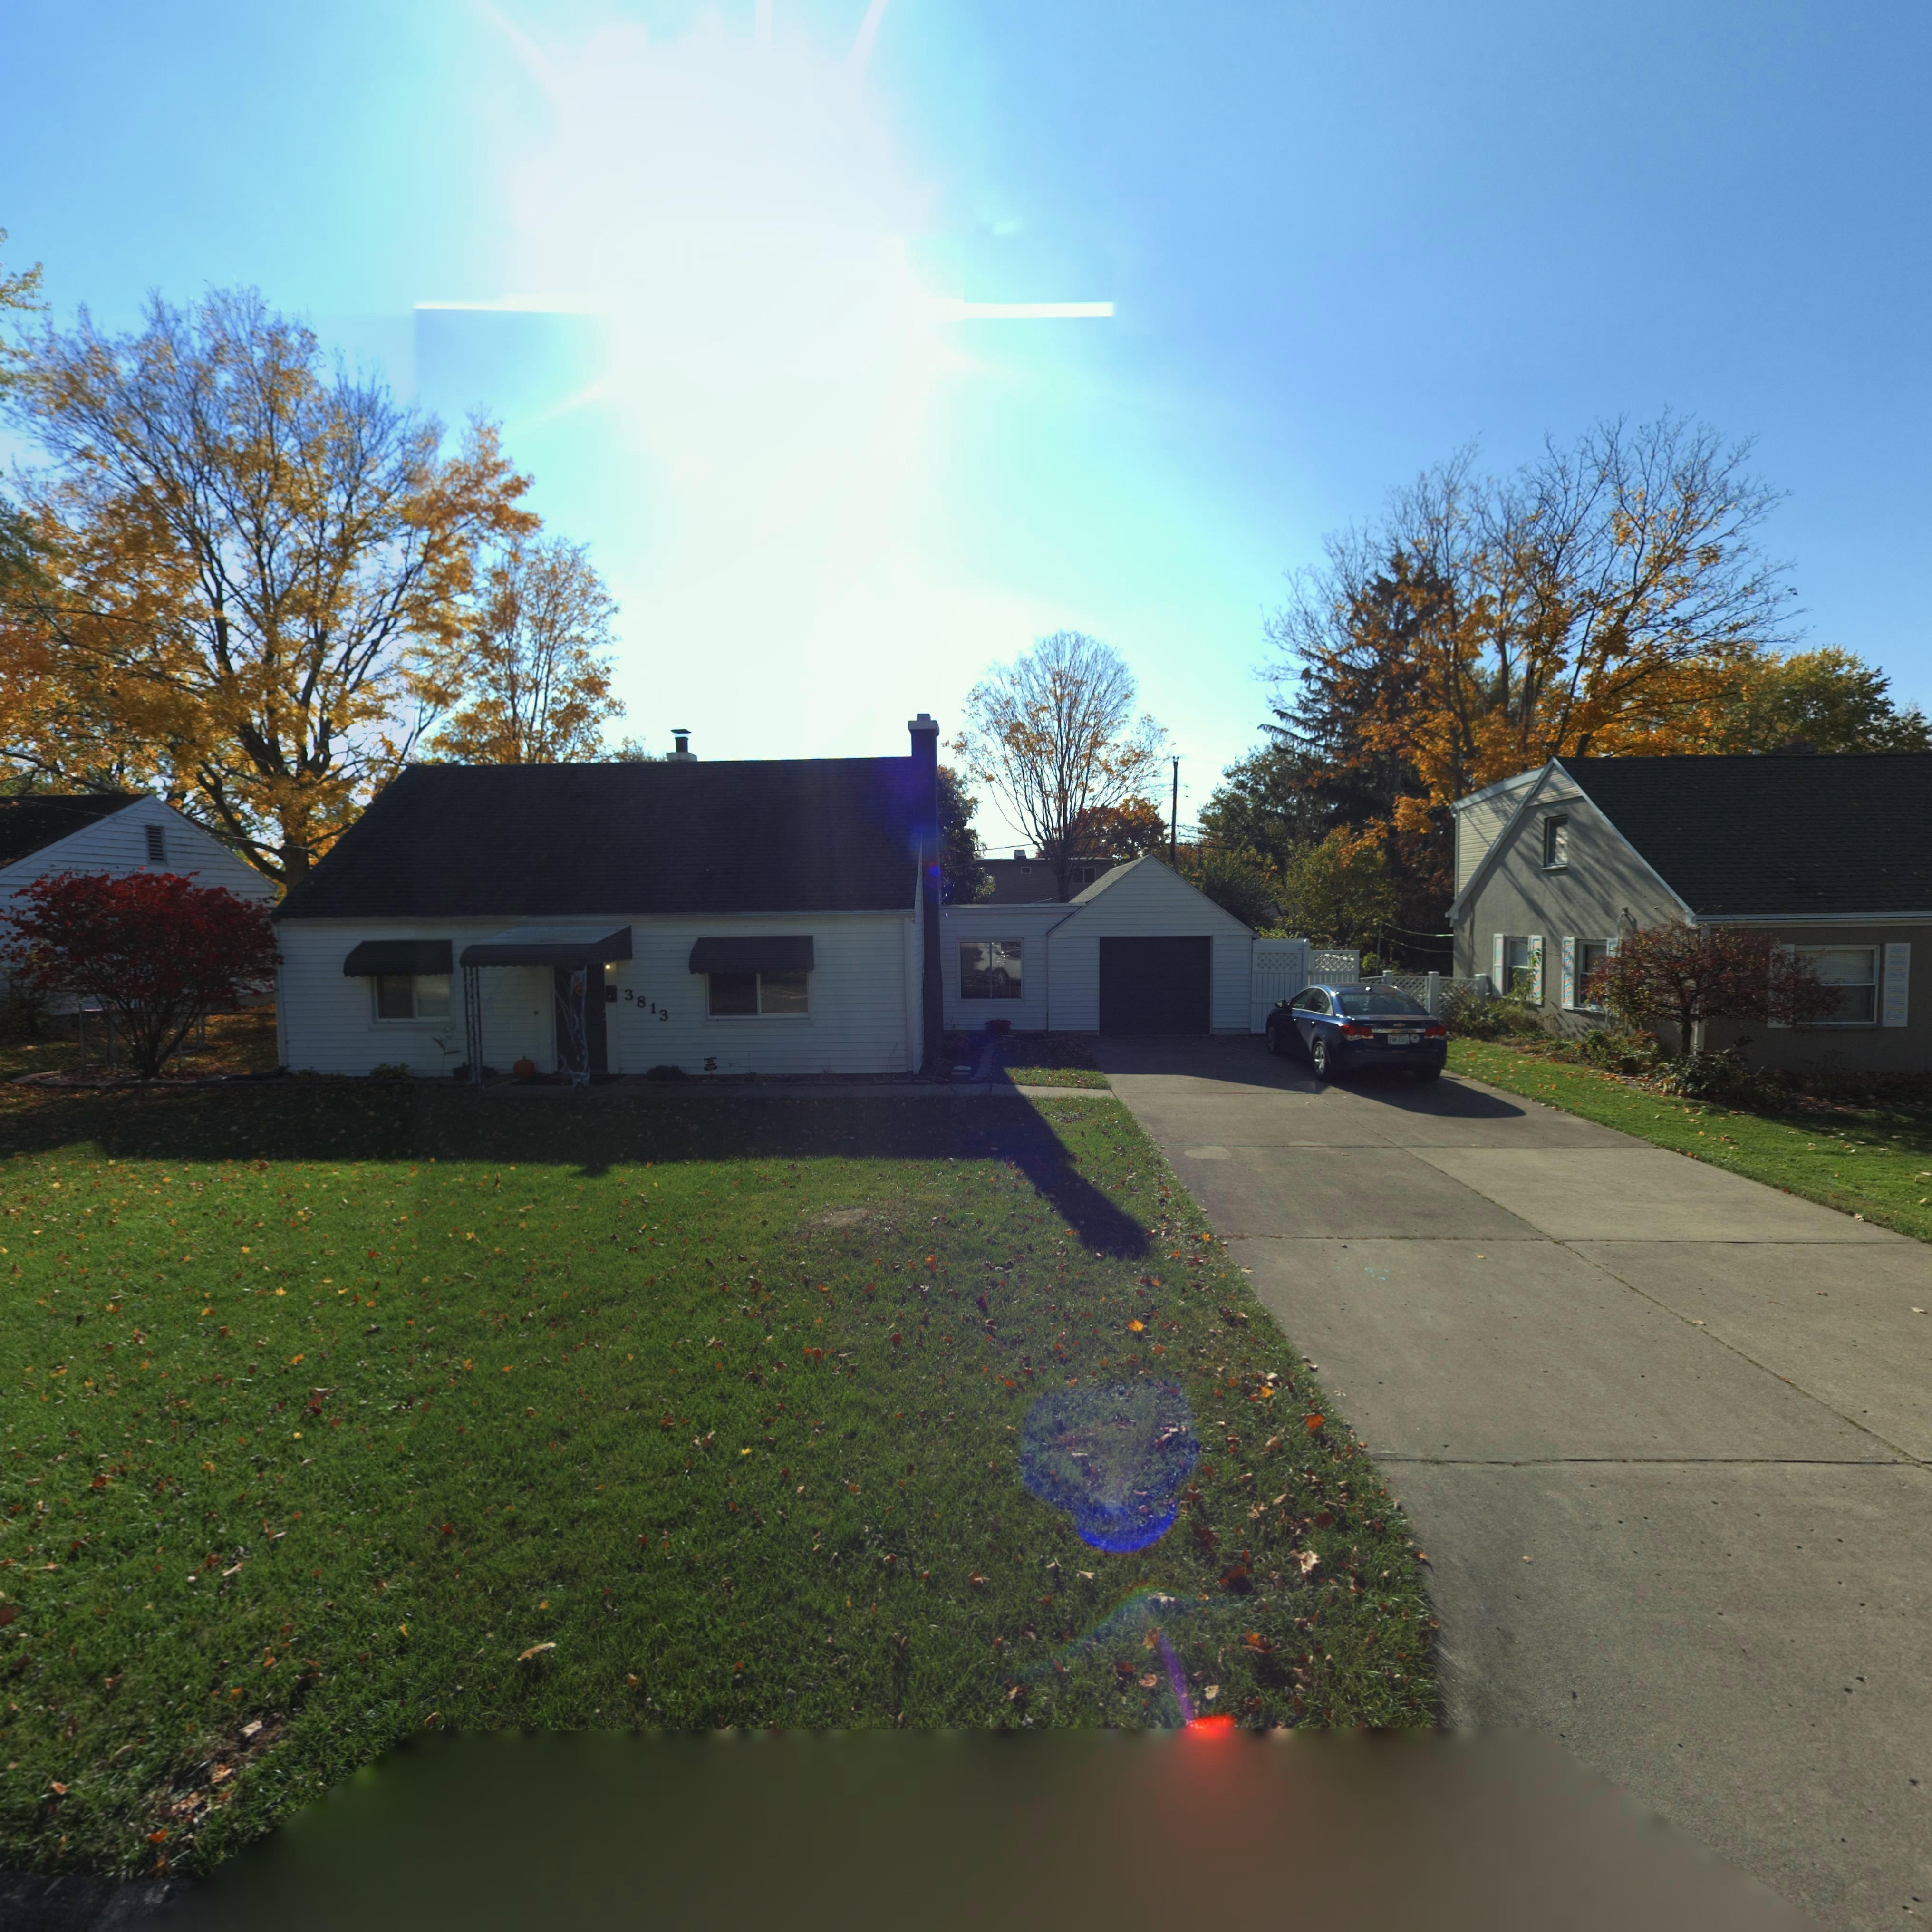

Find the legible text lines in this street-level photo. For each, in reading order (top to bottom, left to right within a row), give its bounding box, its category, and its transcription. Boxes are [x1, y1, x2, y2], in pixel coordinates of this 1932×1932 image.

[623, 988, 669, 1022] StreetNumber: 3813